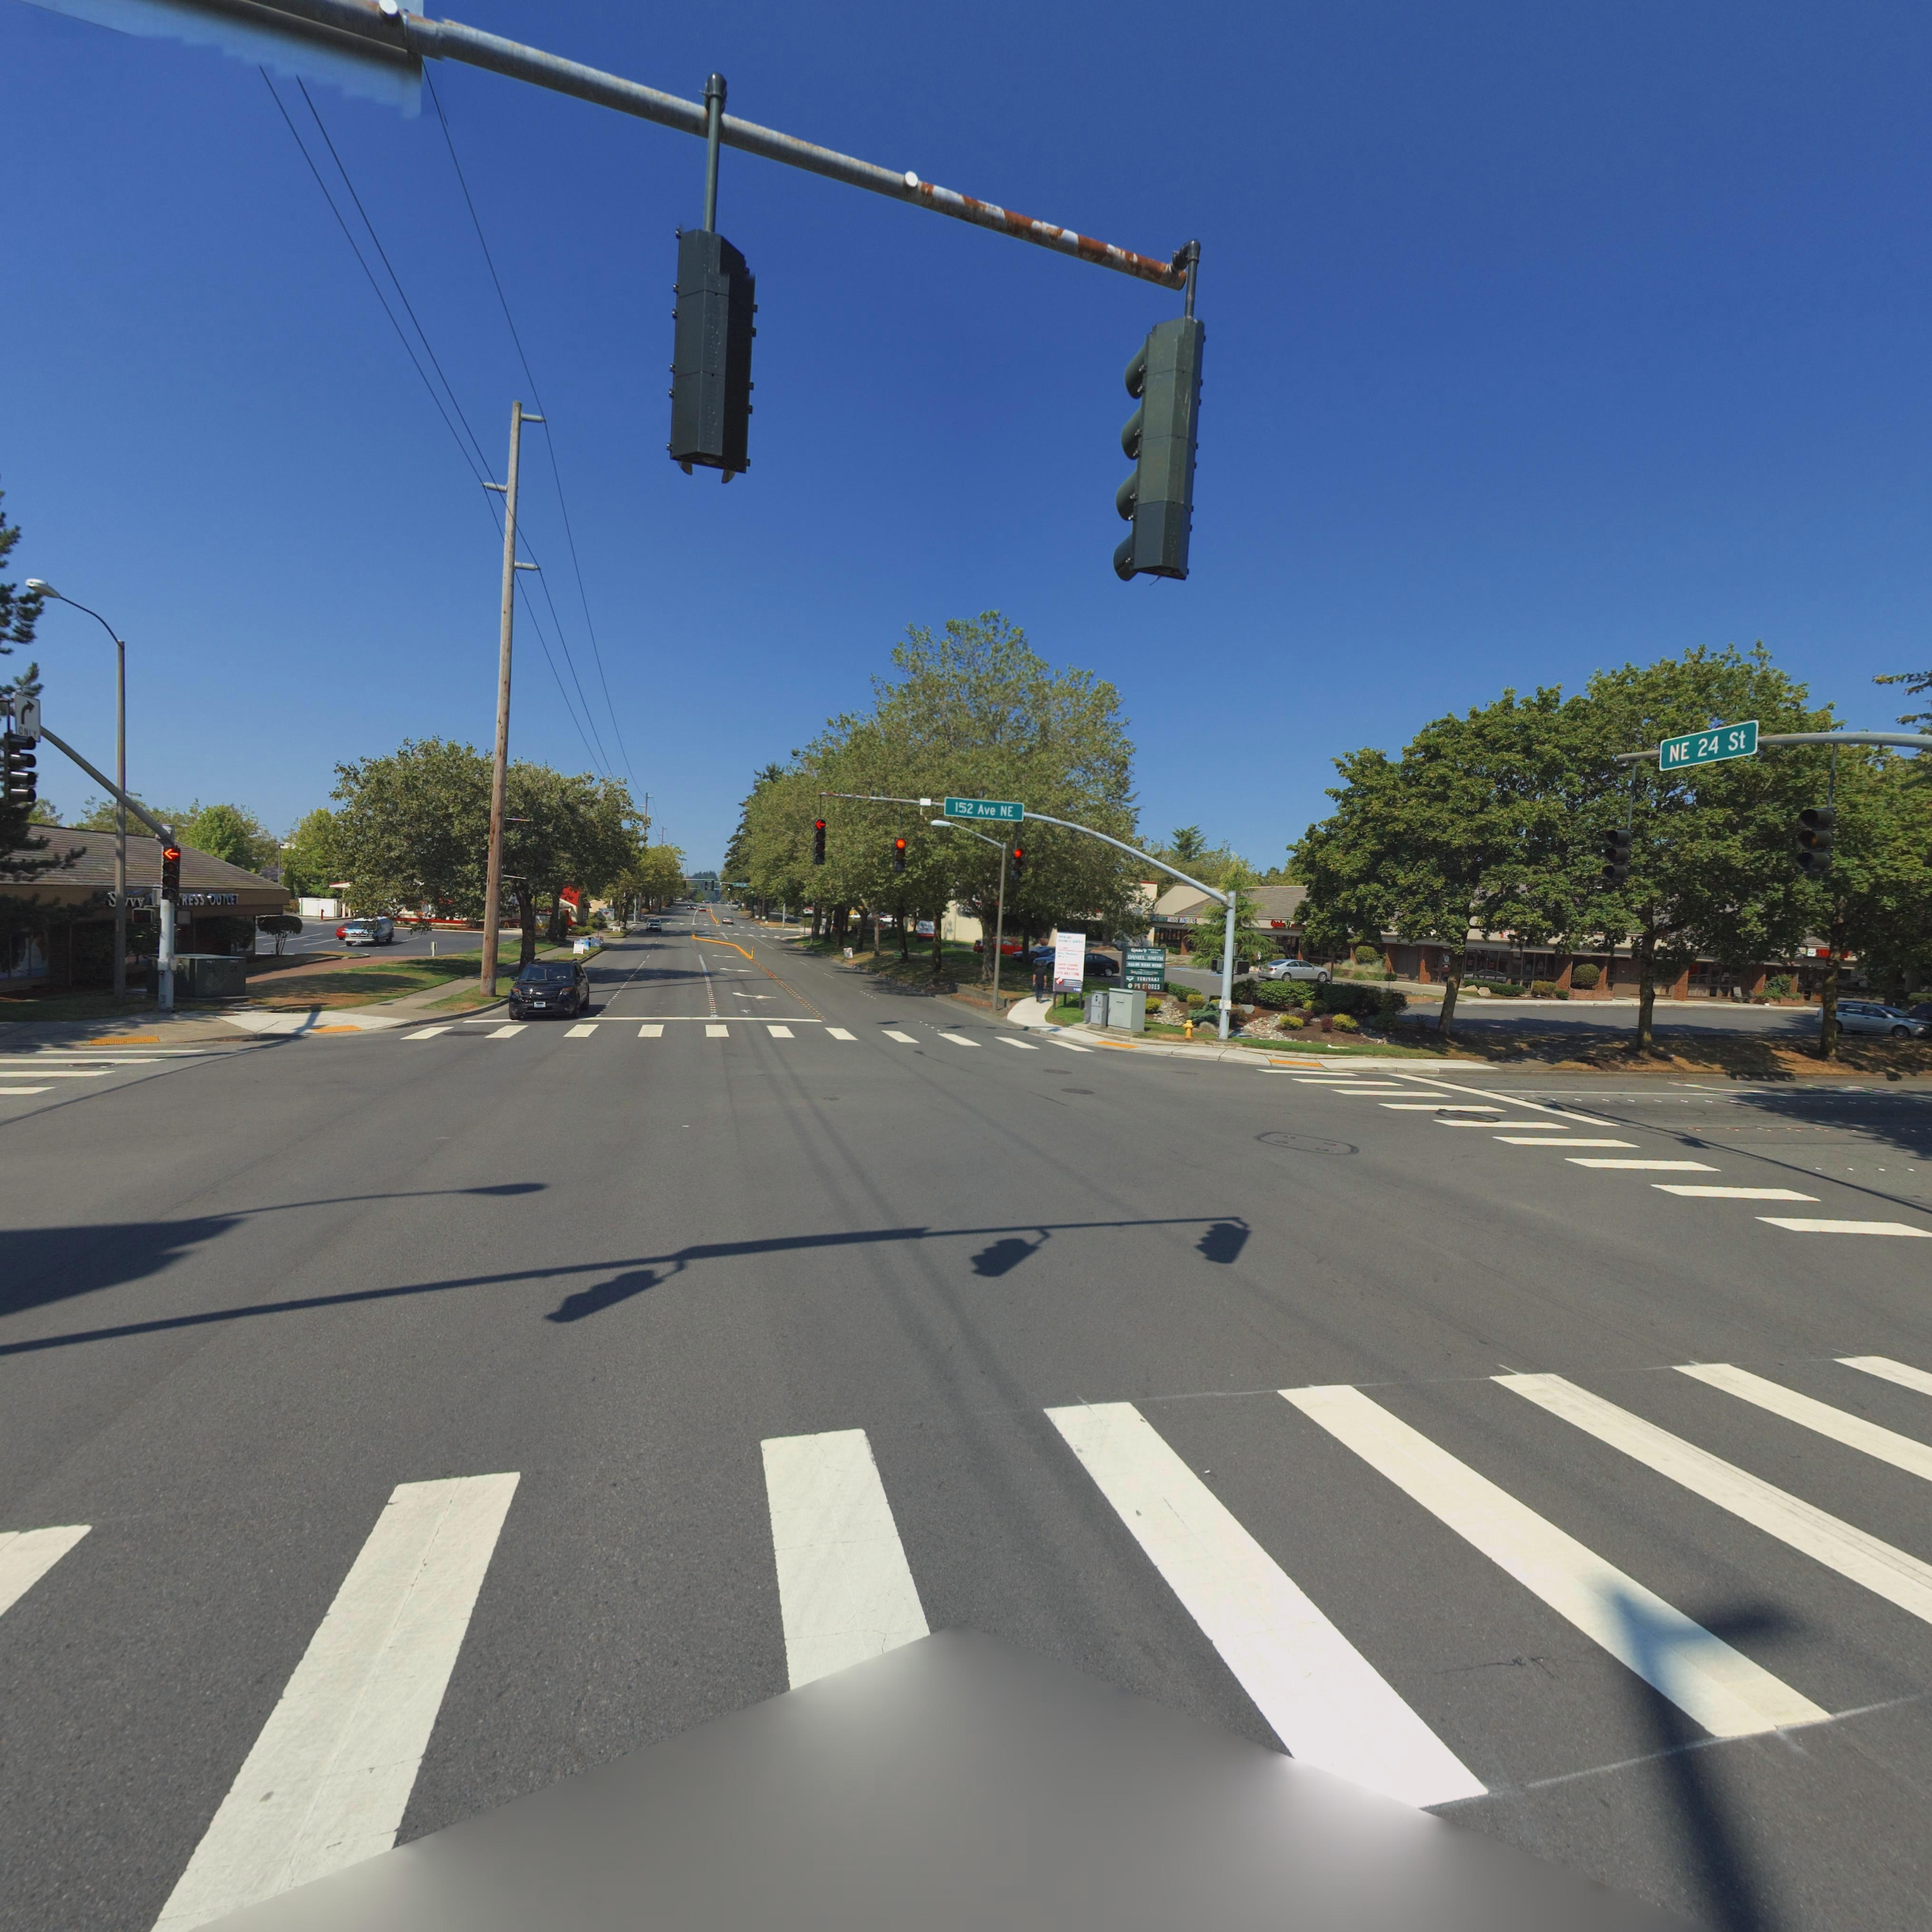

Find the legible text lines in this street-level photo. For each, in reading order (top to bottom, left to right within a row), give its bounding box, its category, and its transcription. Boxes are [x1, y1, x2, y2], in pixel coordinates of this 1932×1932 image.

[1669, 728, 1748, 763] StreetName: NE 24 St
[954, 802, 1014, 817] StreetName: 1**2 Ave NE
[128, 897, 136, 907] BusinessName: v
[181, 893, 204, 905] BusinessName: RESS
[209, 893, 239, 905] BusinessName: OUT*ET
[1127, 955, 1163, 961] BusinessName: DANIEL SMITH
[1137, 977, 1159, 982] BusinessName: TERIYAKI
[1134, 983, 1161, 989] BusinessName: PS STORES